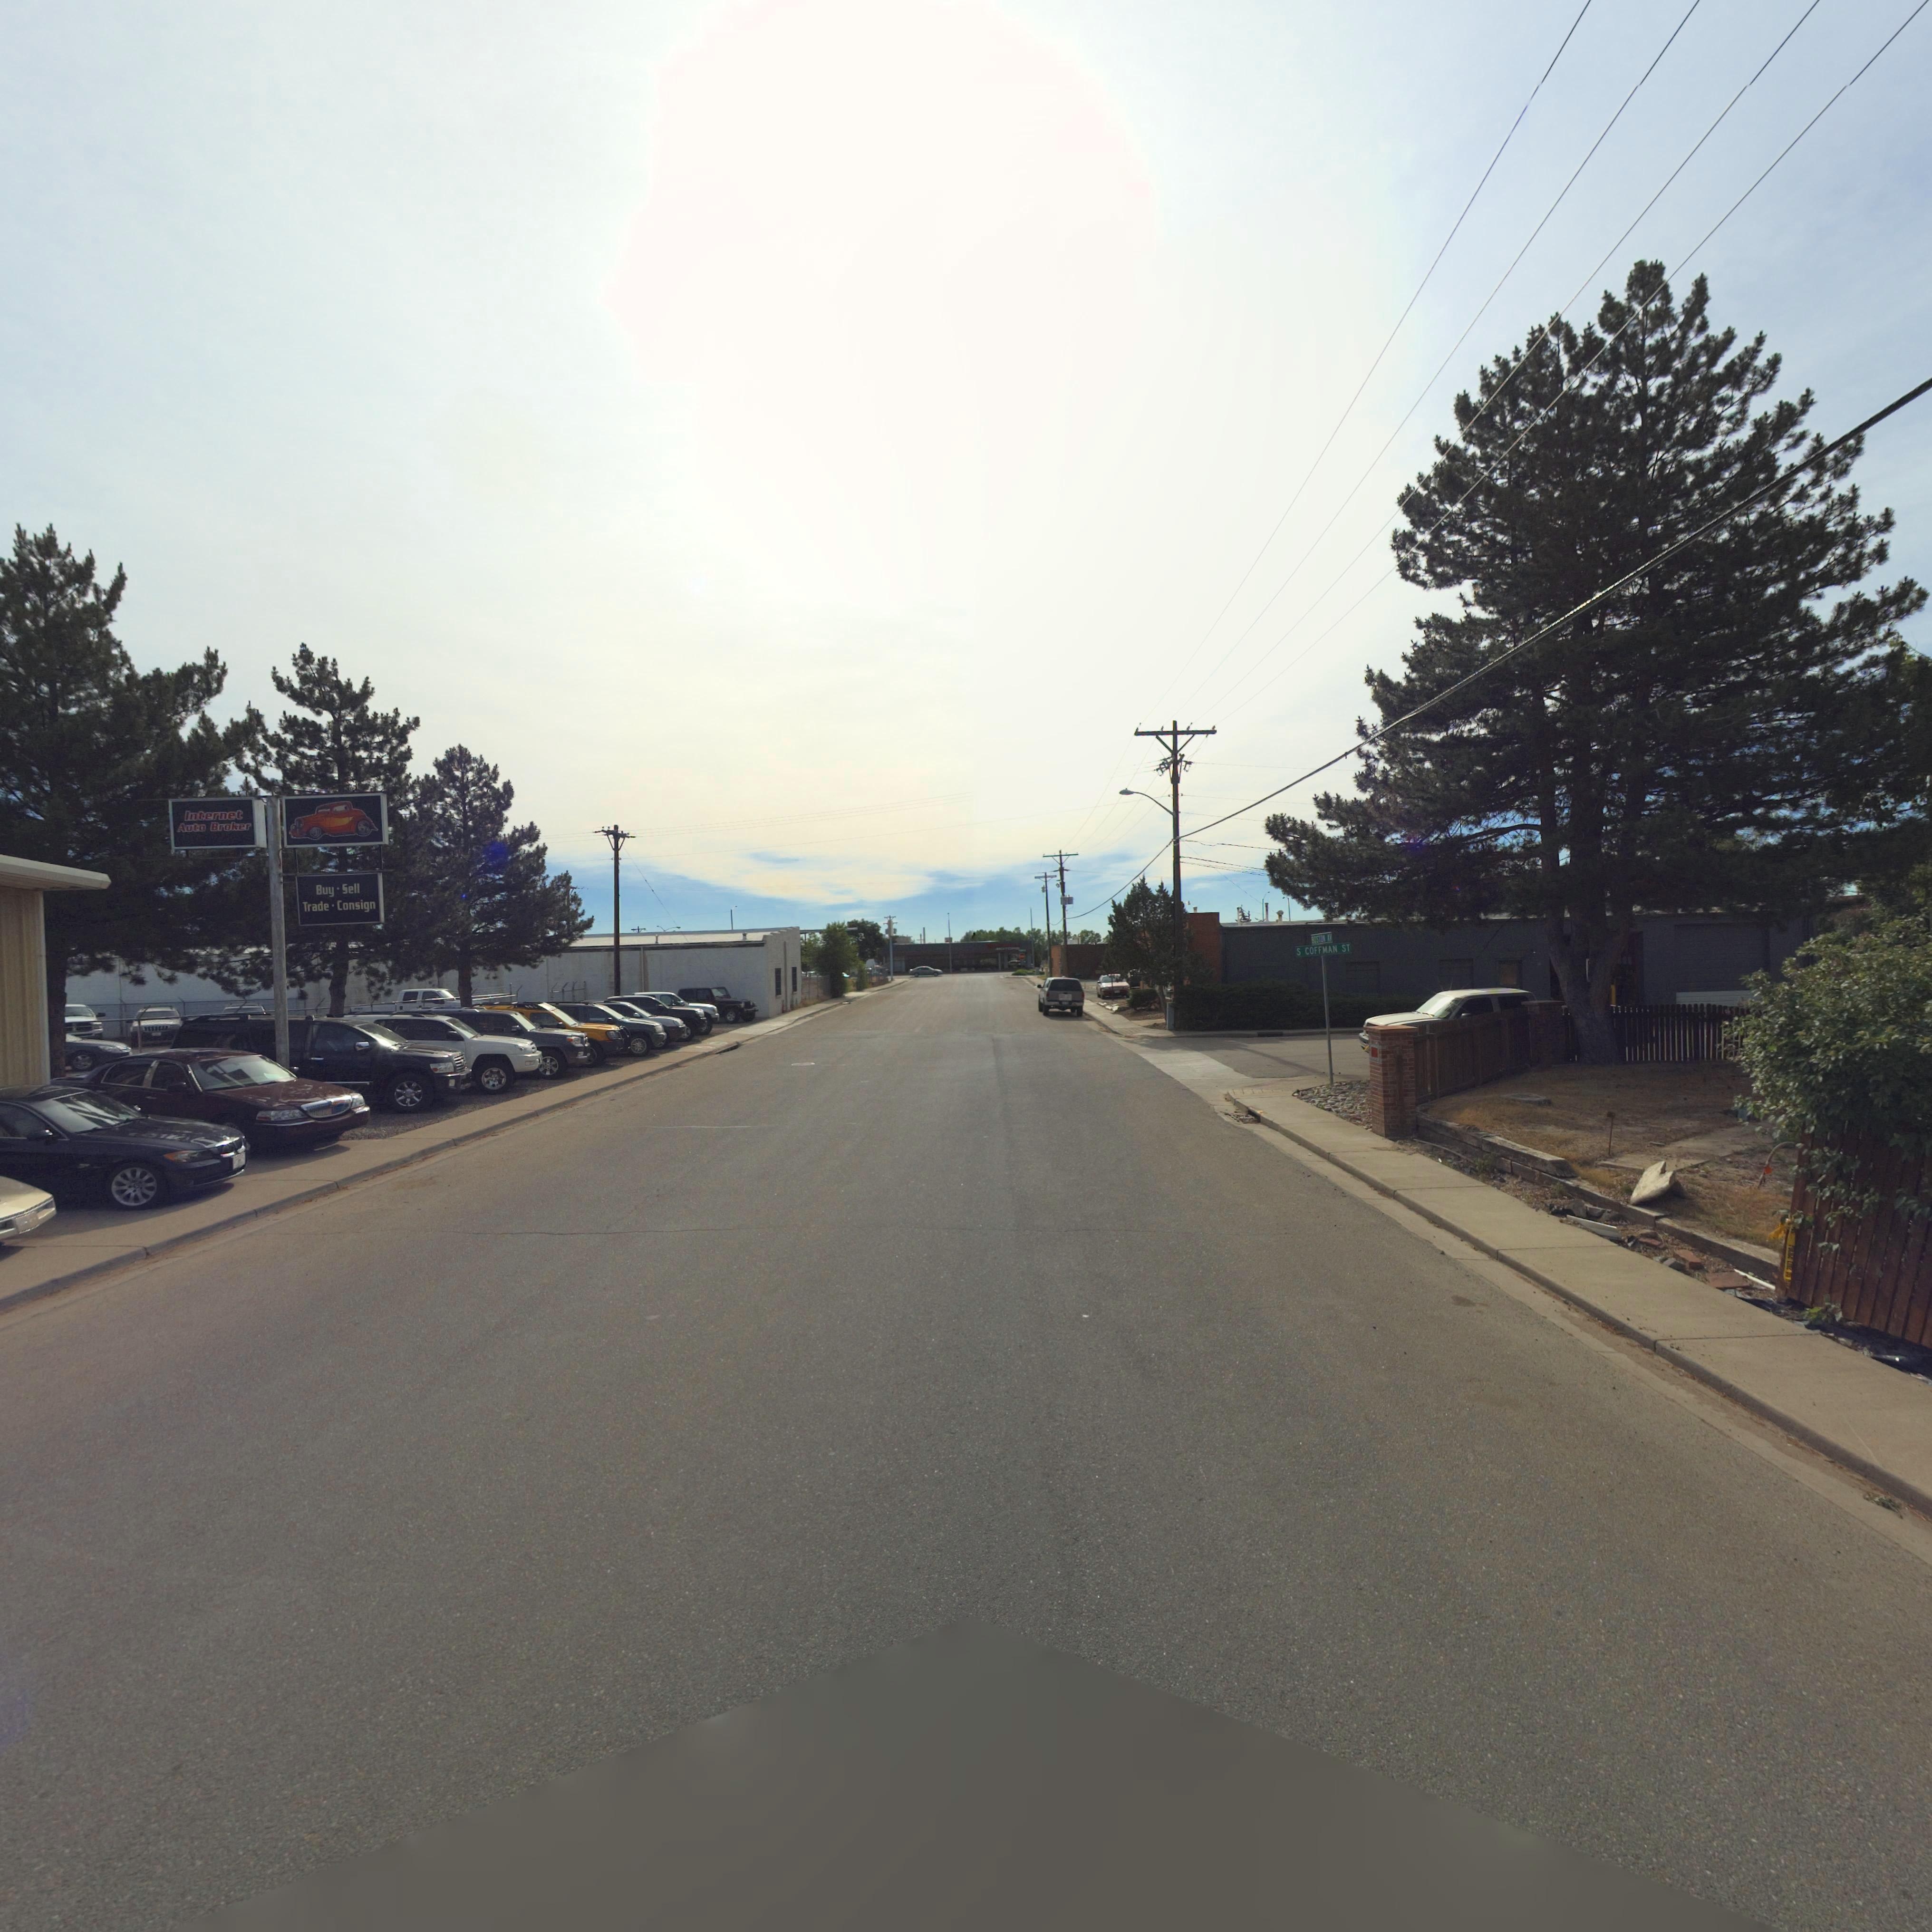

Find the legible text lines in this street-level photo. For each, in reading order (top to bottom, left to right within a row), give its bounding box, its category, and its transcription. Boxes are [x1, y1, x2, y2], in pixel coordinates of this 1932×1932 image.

[184, 810, 243, 821] BusinessName: Internet
[177, 821, 251, 831] BusinessName: Auto Broker
[1311, 933, 1332, 944] StreetName: BOSTON AV
[1296, 944, 1349, 956] BusinessName: S COFFMAN ST